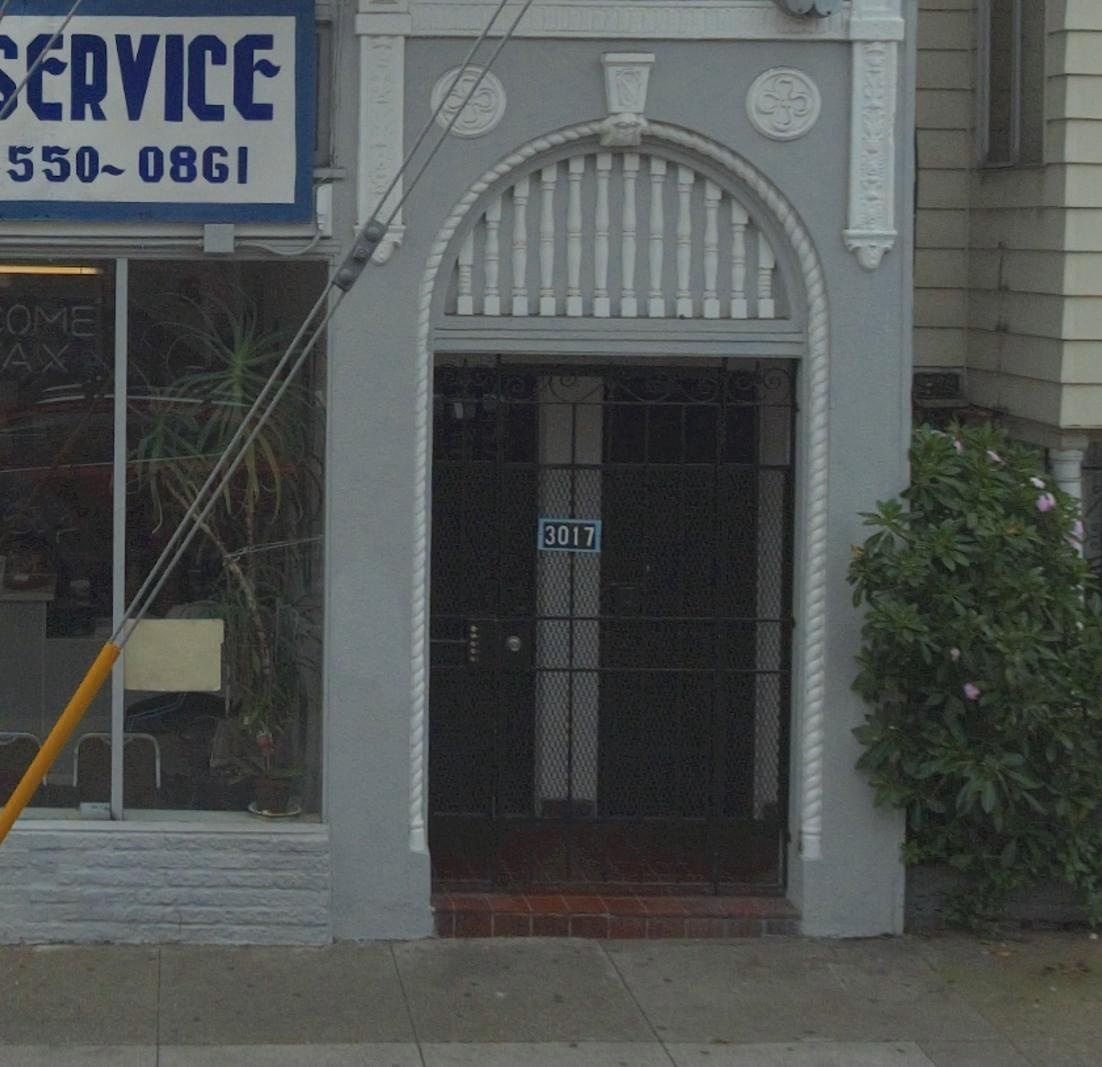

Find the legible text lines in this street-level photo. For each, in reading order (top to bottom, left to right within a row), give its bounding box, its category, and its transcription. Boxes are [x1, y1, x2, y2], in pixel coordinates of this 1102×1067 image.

[22, 31, 274, 124] BusinessName: ERVICE
[4, 143, 249, 187] None: 550-0861
[544, 524, 596, 548] StreetNumber: 3017